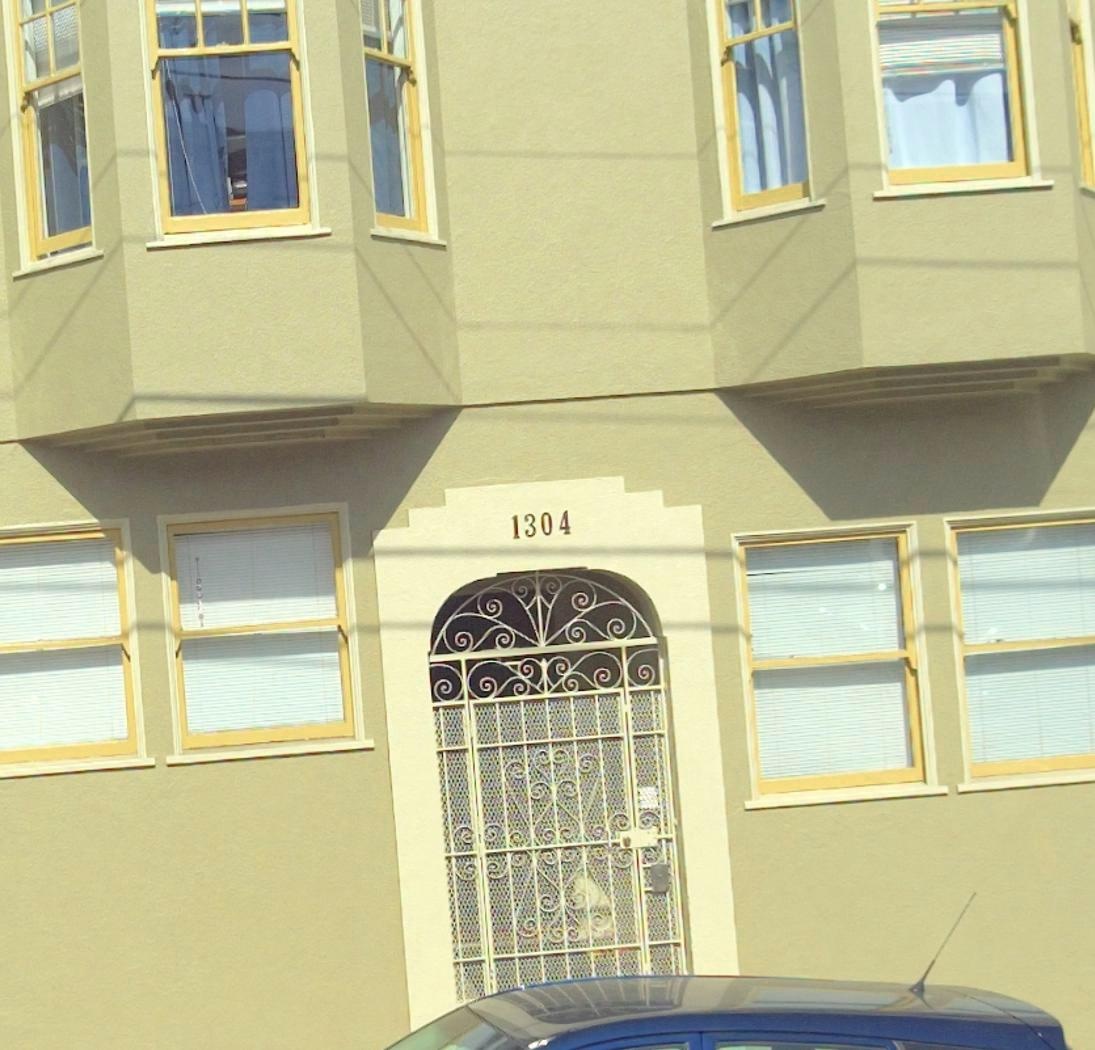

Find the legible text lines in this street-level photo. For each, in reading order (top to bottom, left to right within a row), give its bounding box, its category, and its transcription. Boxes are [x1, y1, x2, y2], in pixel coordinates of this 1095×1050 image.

[509, 508, 573, 541] StreetNumber: 1304